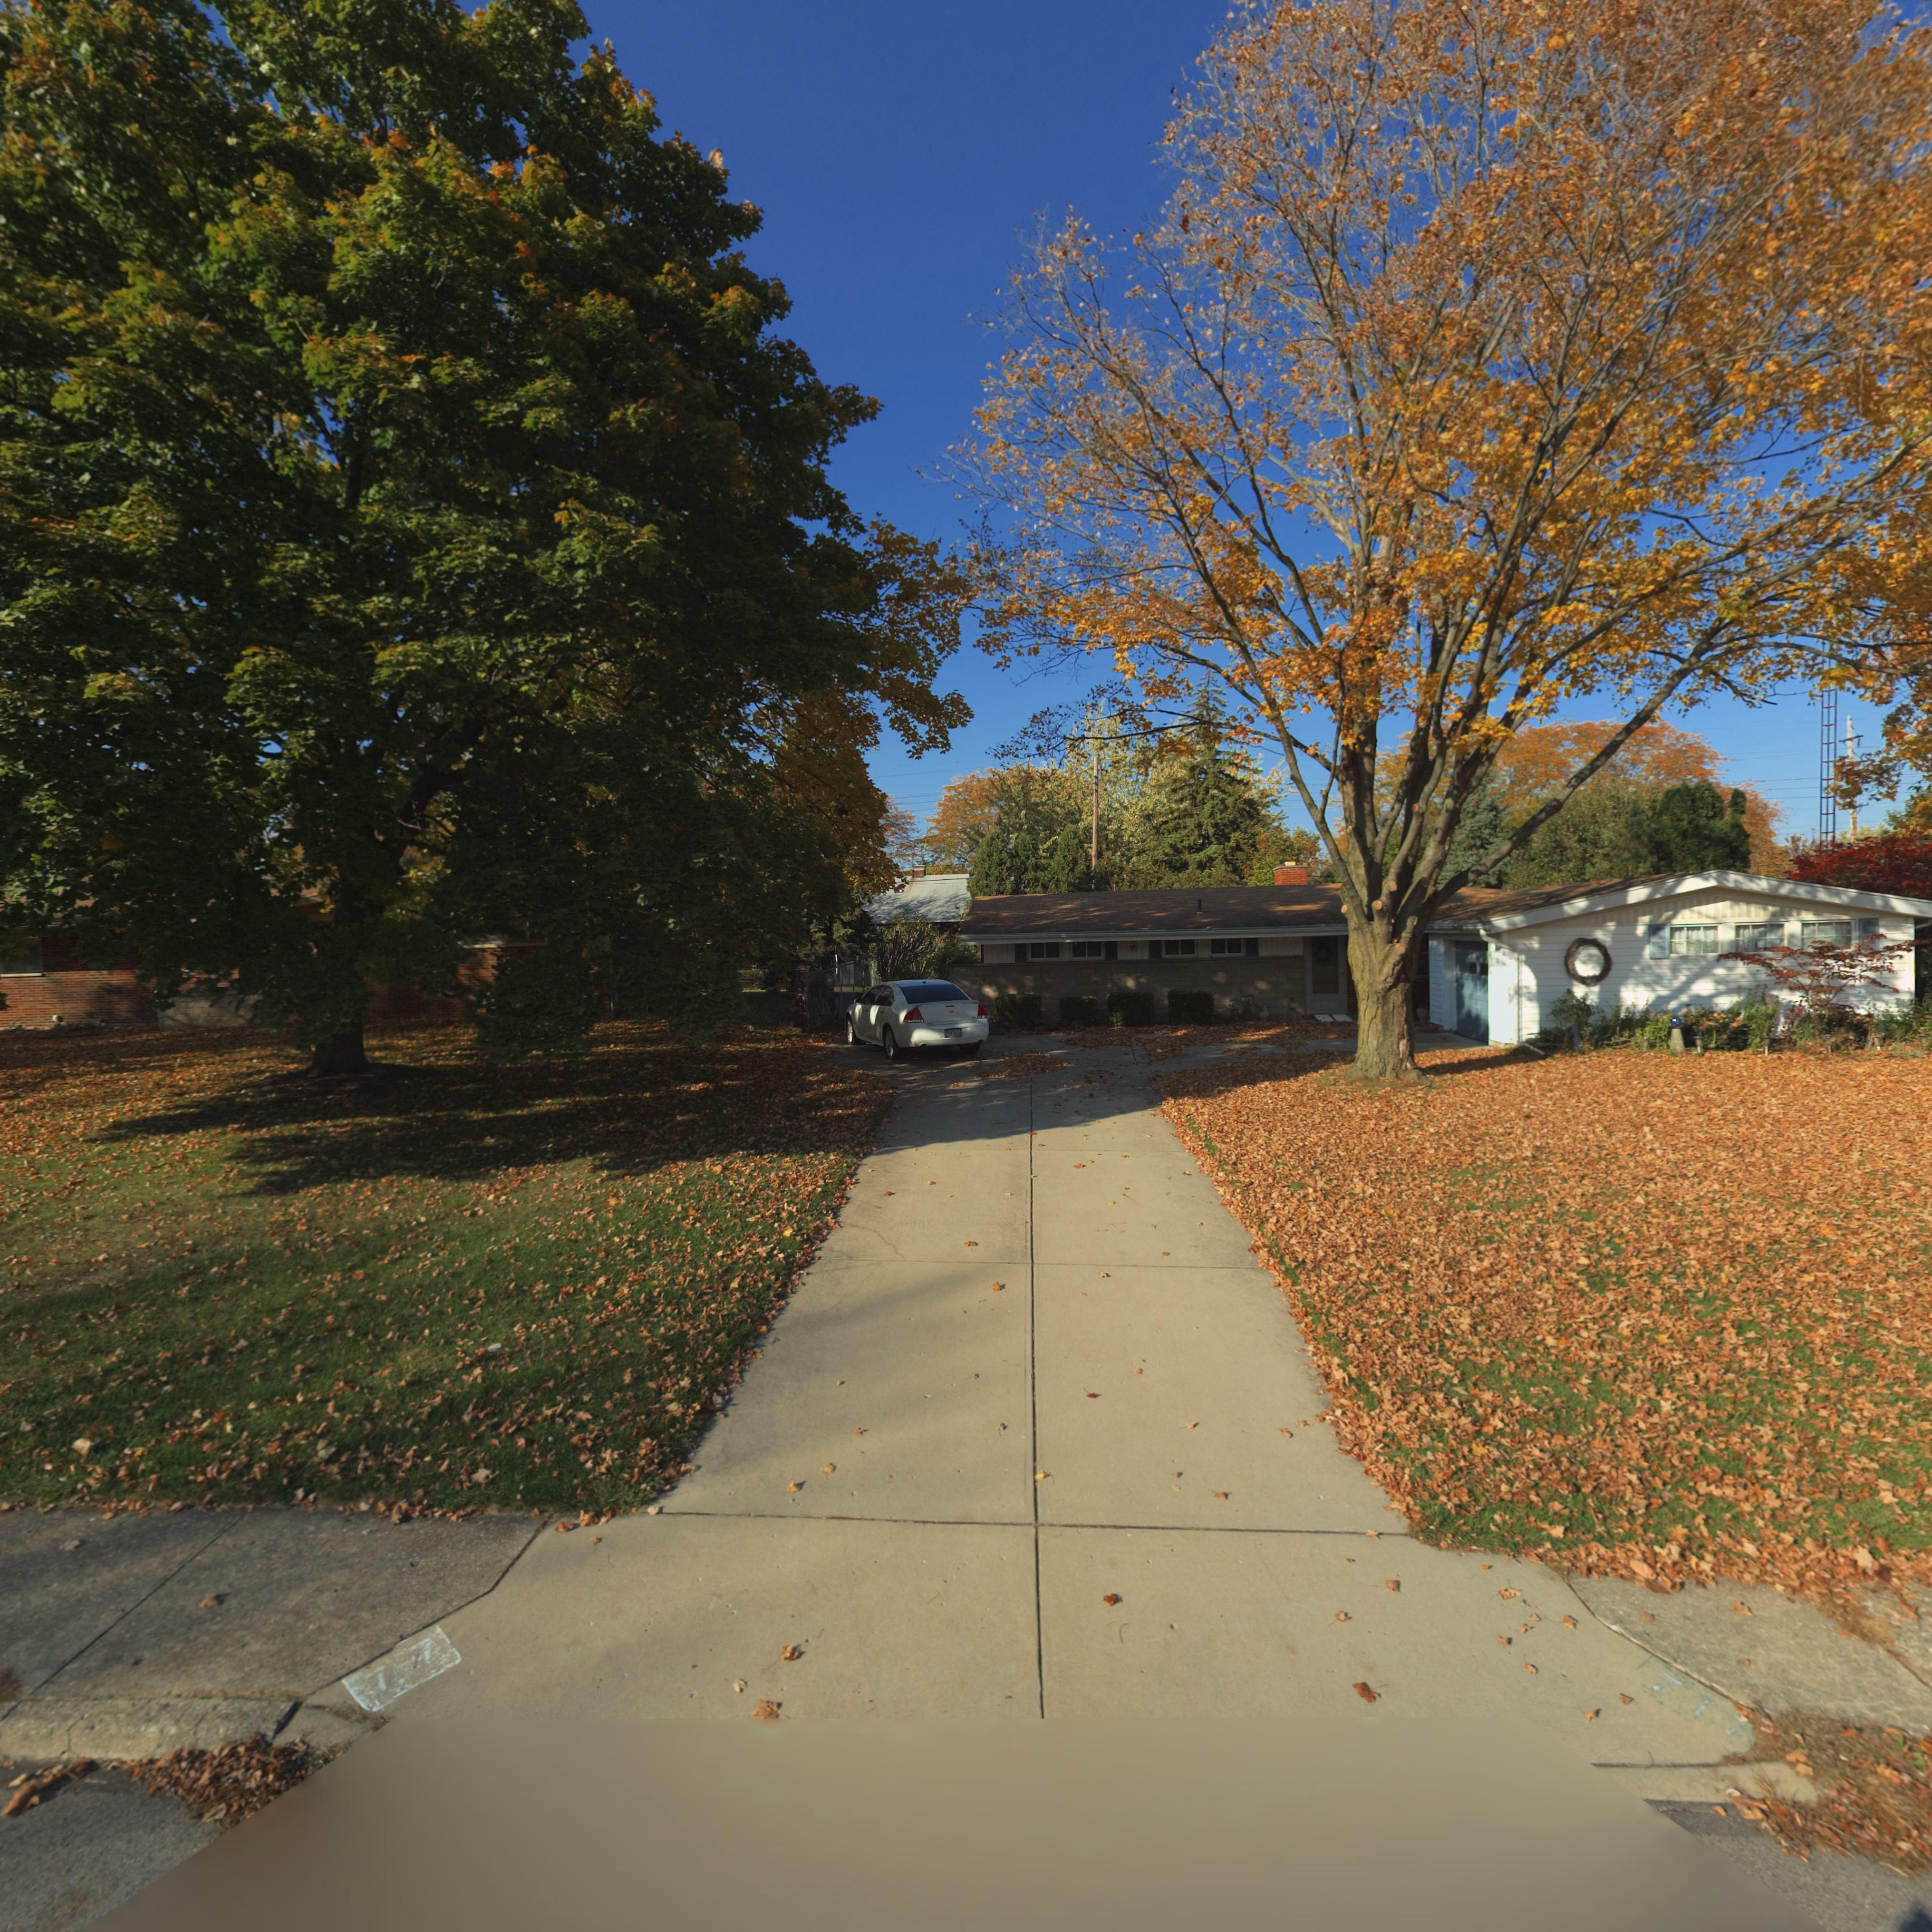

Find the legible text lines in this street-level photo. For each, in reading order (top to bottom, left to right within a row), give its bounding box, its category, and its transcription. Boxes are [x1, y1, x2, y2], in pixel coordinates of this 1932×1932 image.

[1282, 938, 1299, 949] StreetNumber: 717
[360, 1633, 435, 1700] StreetNumber: 7*7